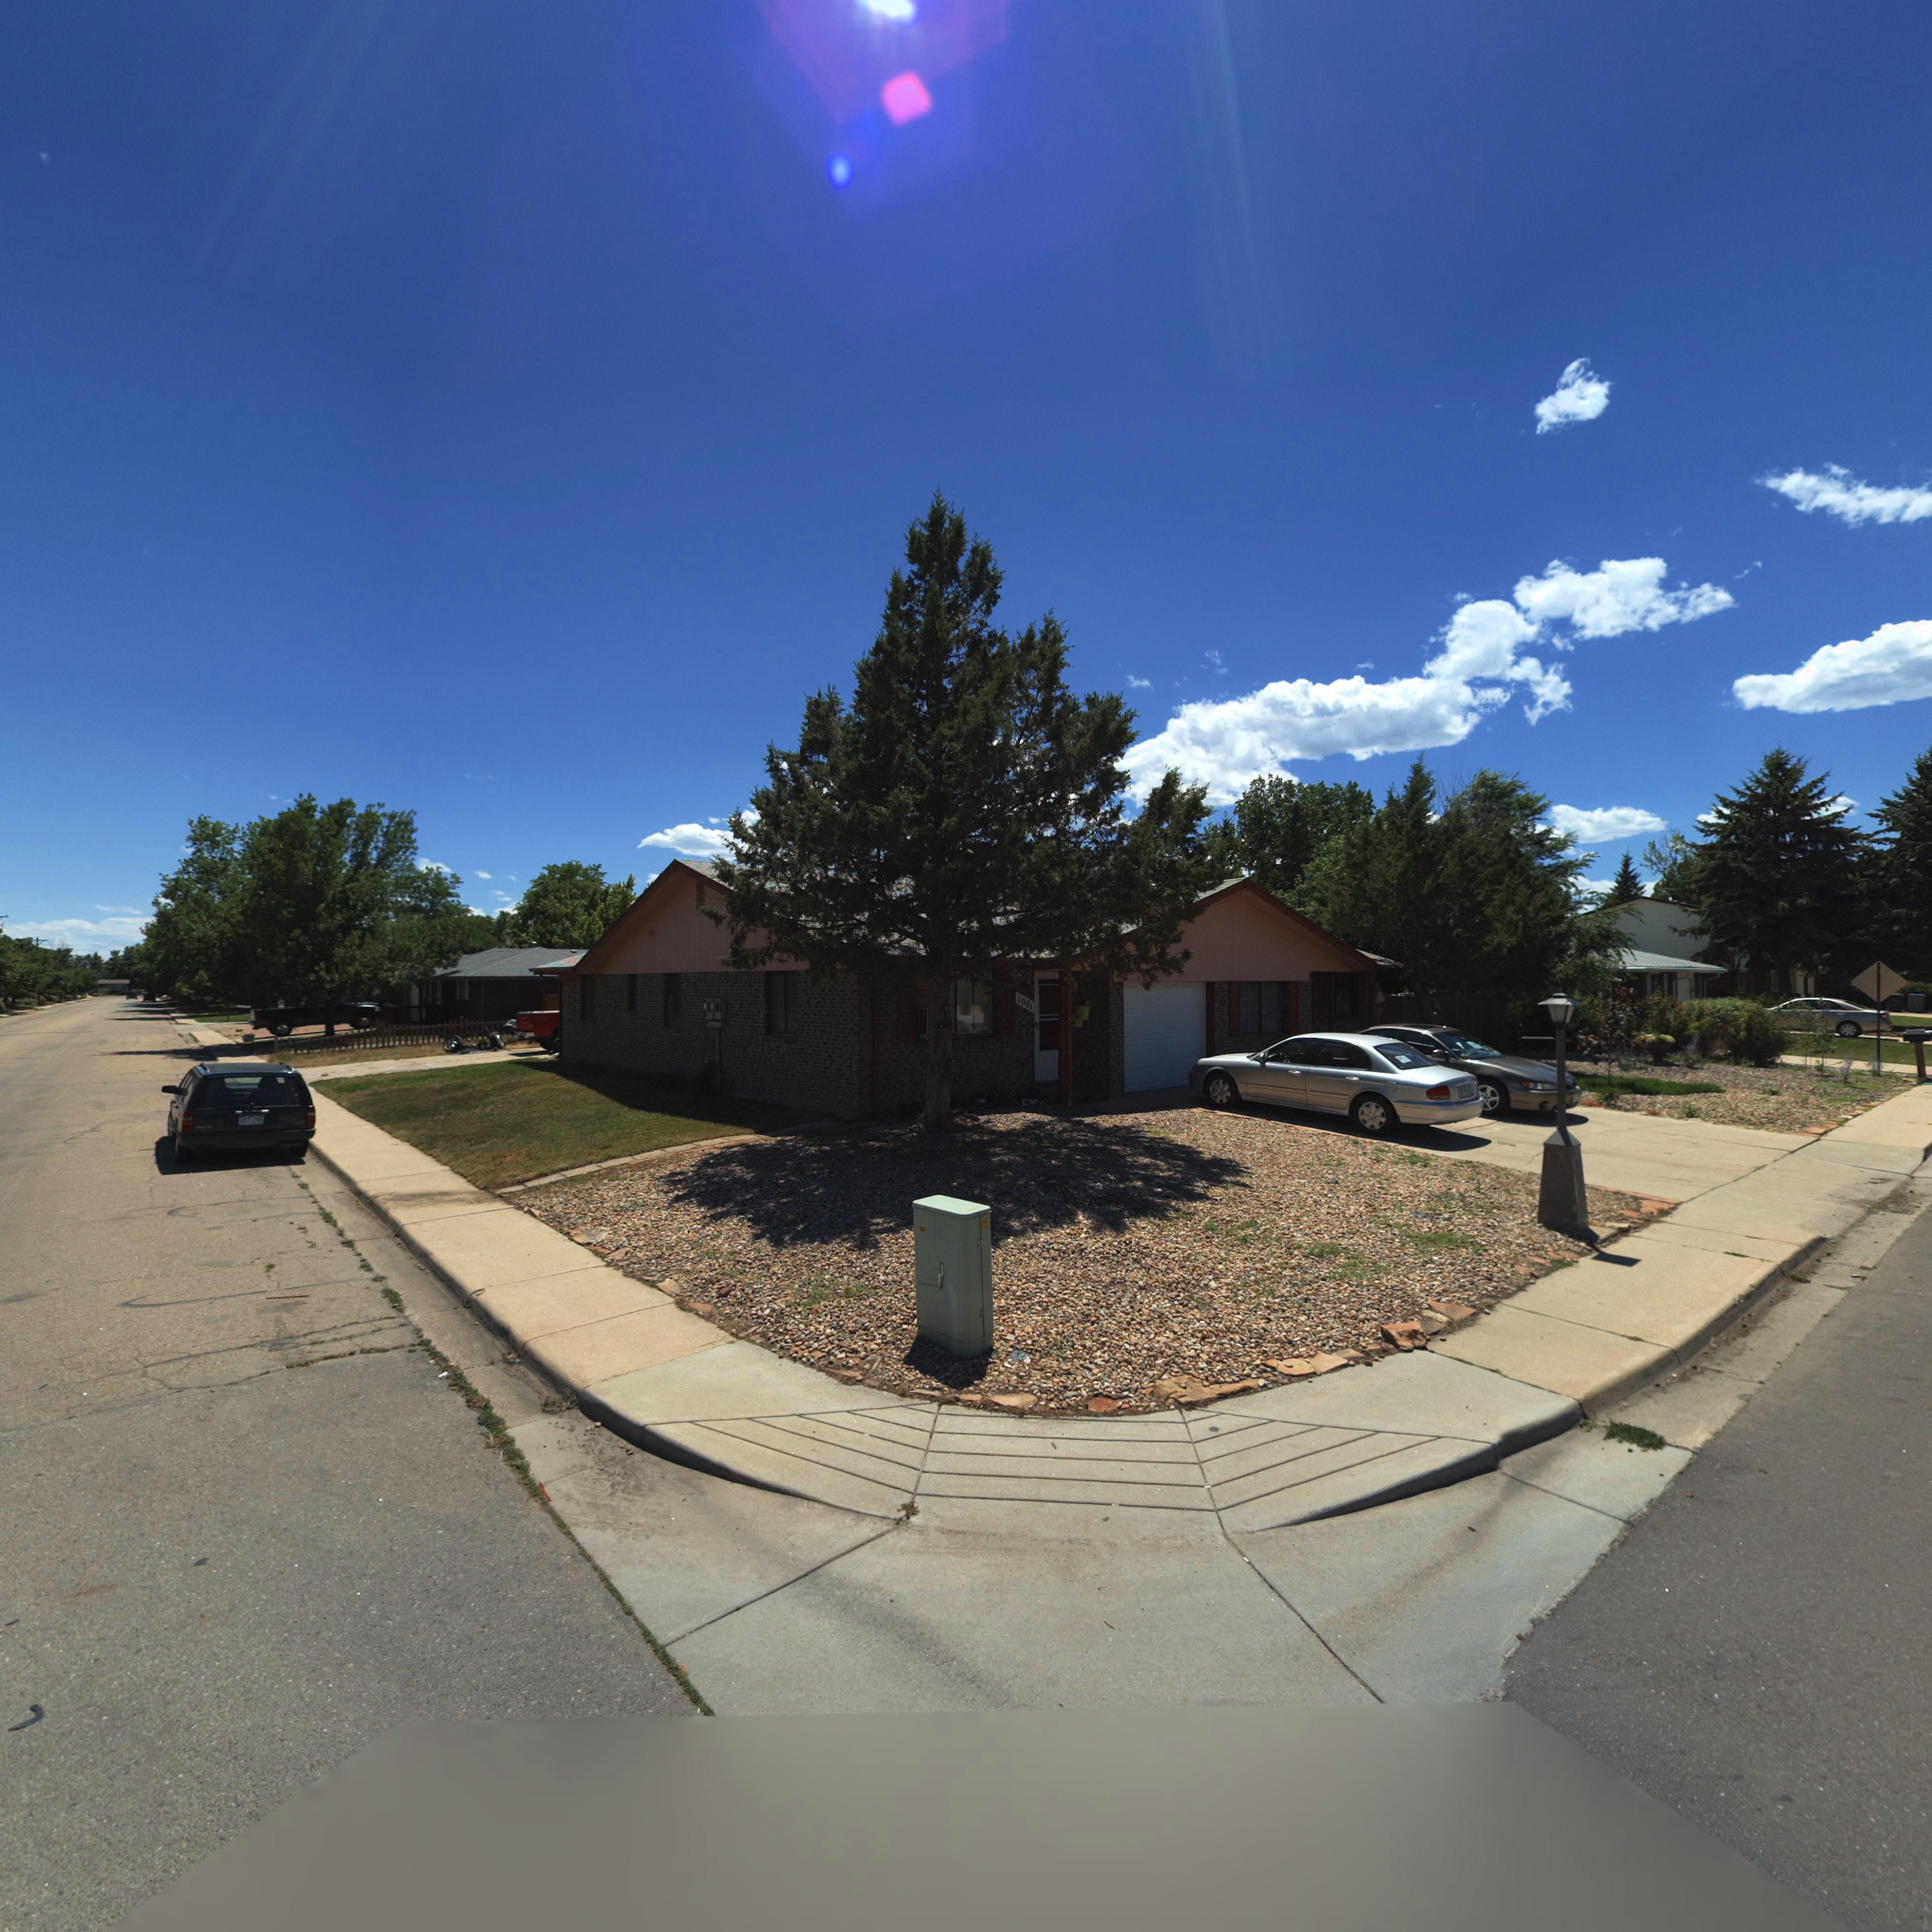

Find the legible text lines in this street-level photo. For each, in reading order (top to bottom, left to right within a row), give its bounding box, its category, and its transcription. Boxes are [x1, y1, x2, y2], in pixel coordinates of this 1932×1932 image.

[1017, 995, 1033, 1011] StreetNumber: 1001